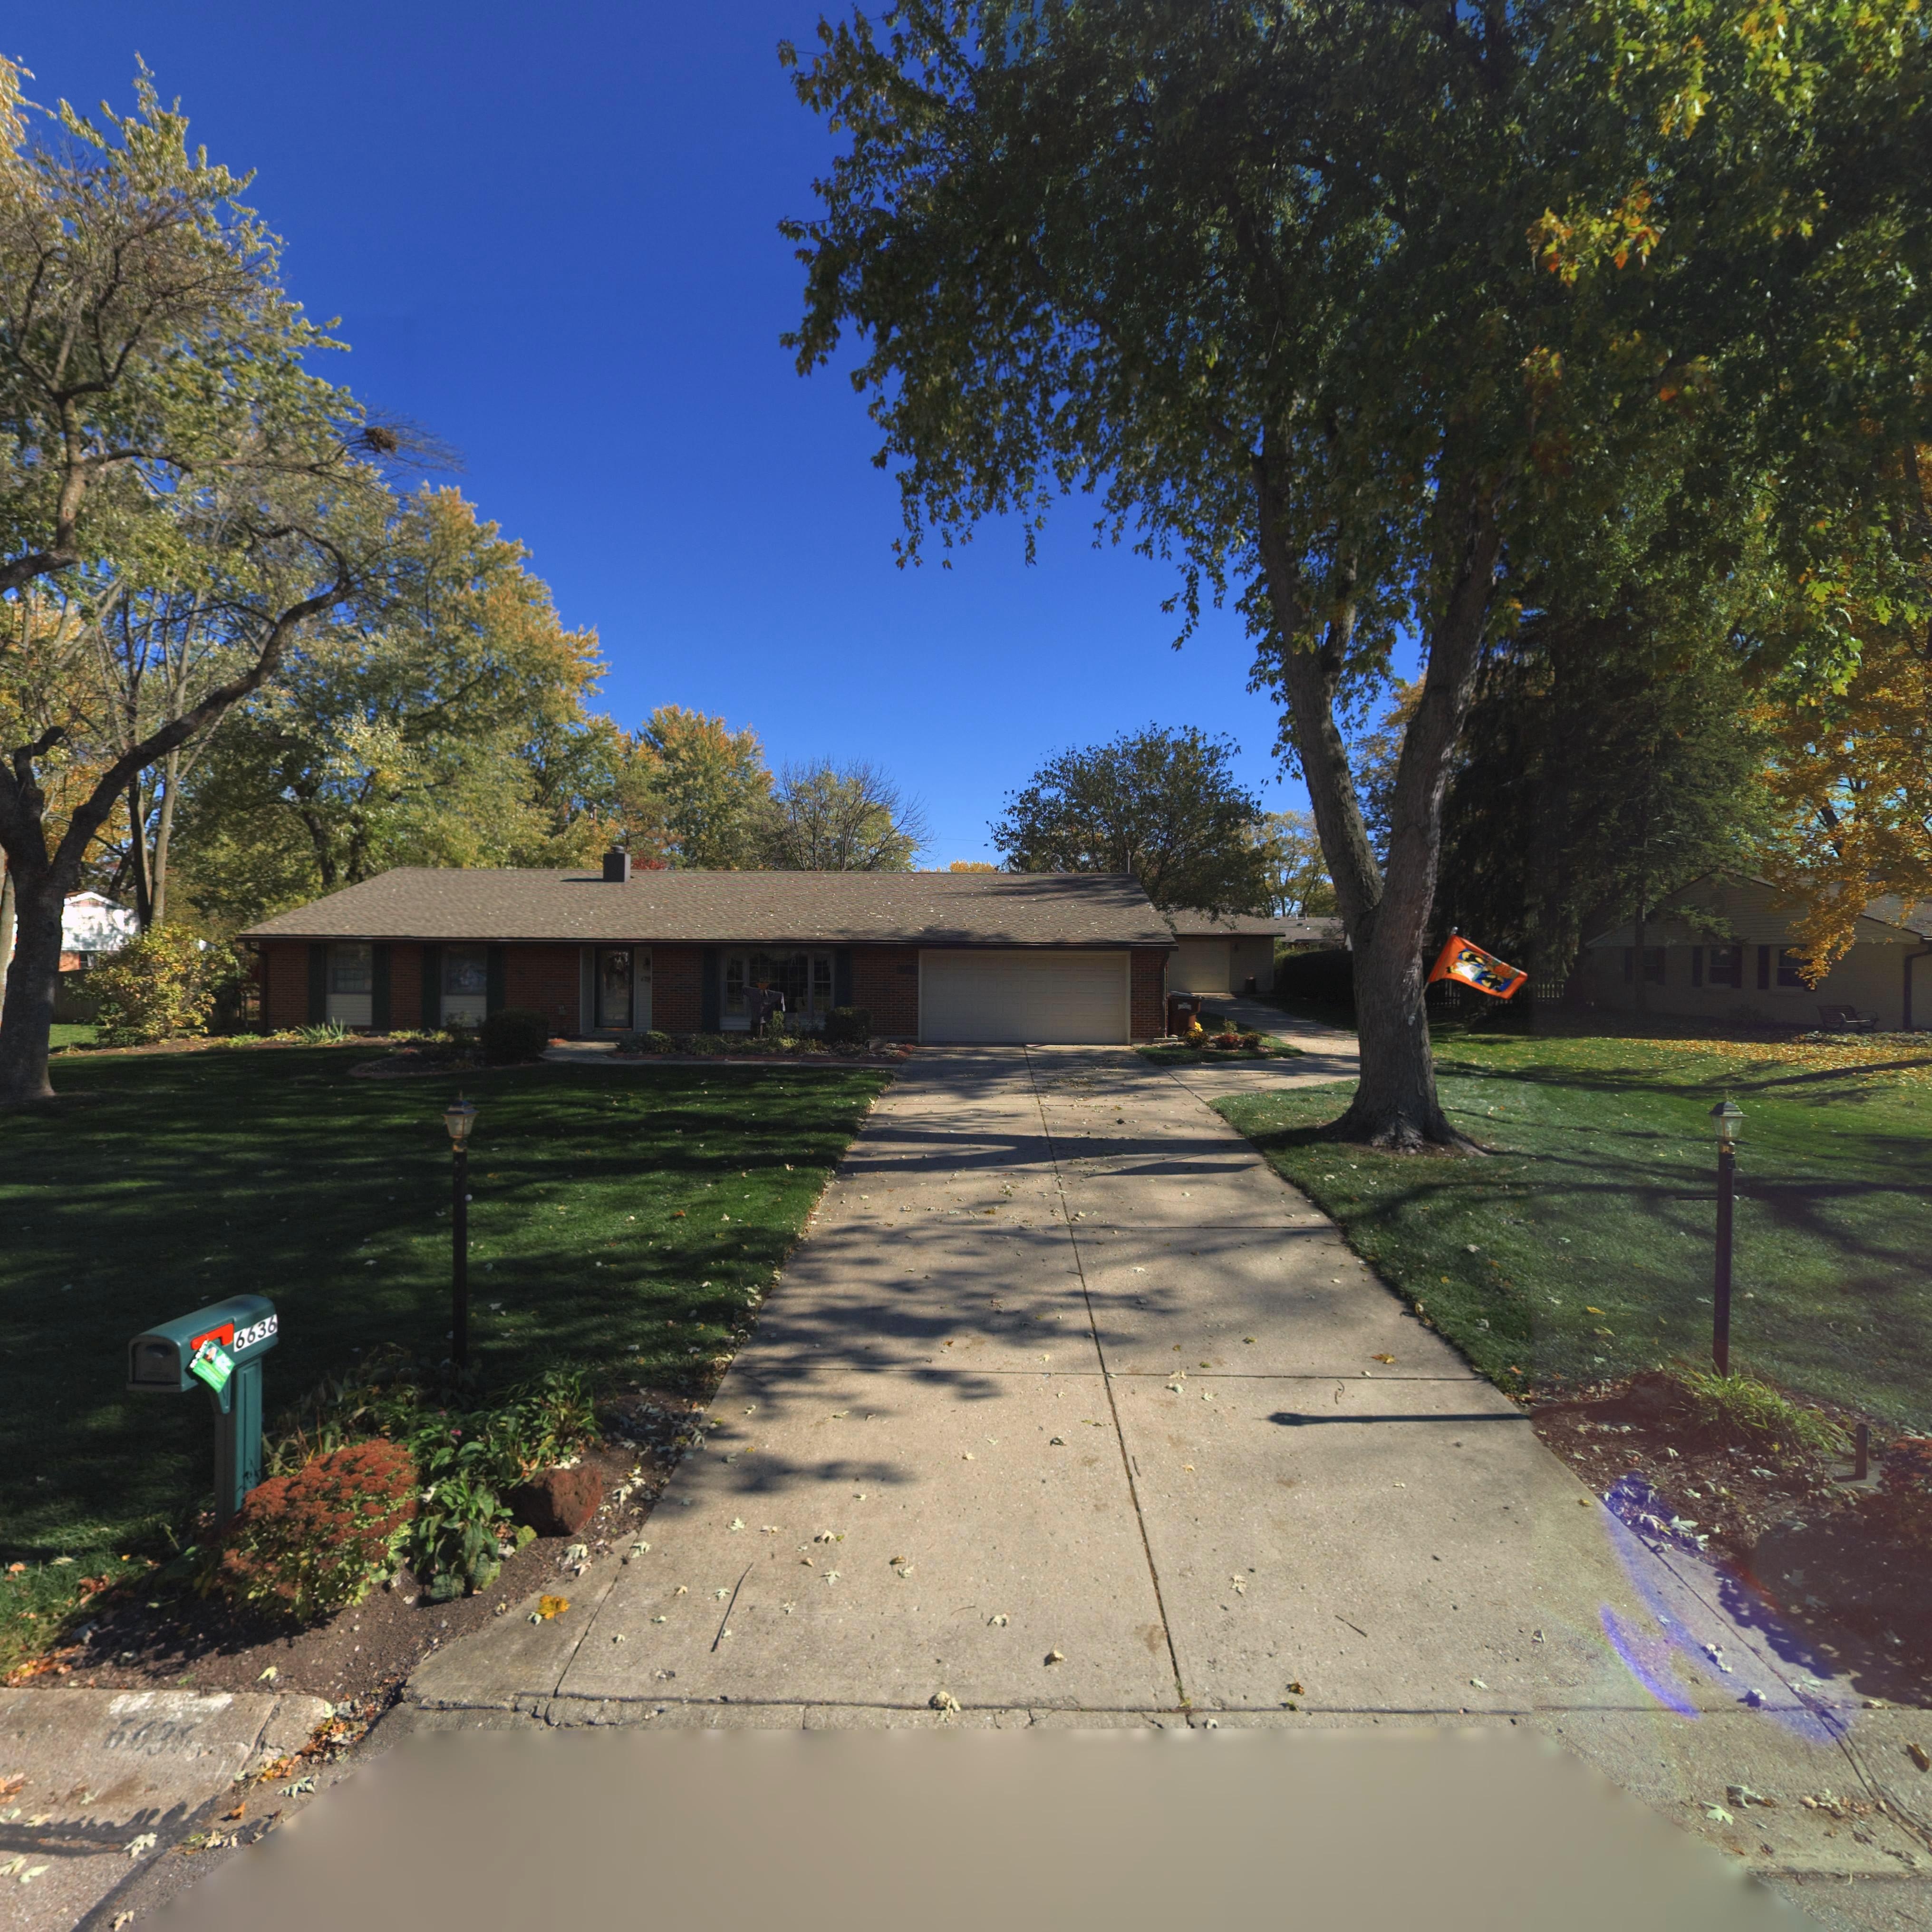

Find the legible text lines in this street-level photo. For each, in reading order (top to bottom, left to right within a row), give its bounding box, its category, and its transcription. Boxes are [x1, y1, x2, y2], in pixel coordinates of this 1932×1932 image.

[234, 1314, 277, 1350] StreetNumber: 6636
[99, 1716, 207, 1757] StreetNumber: 6636